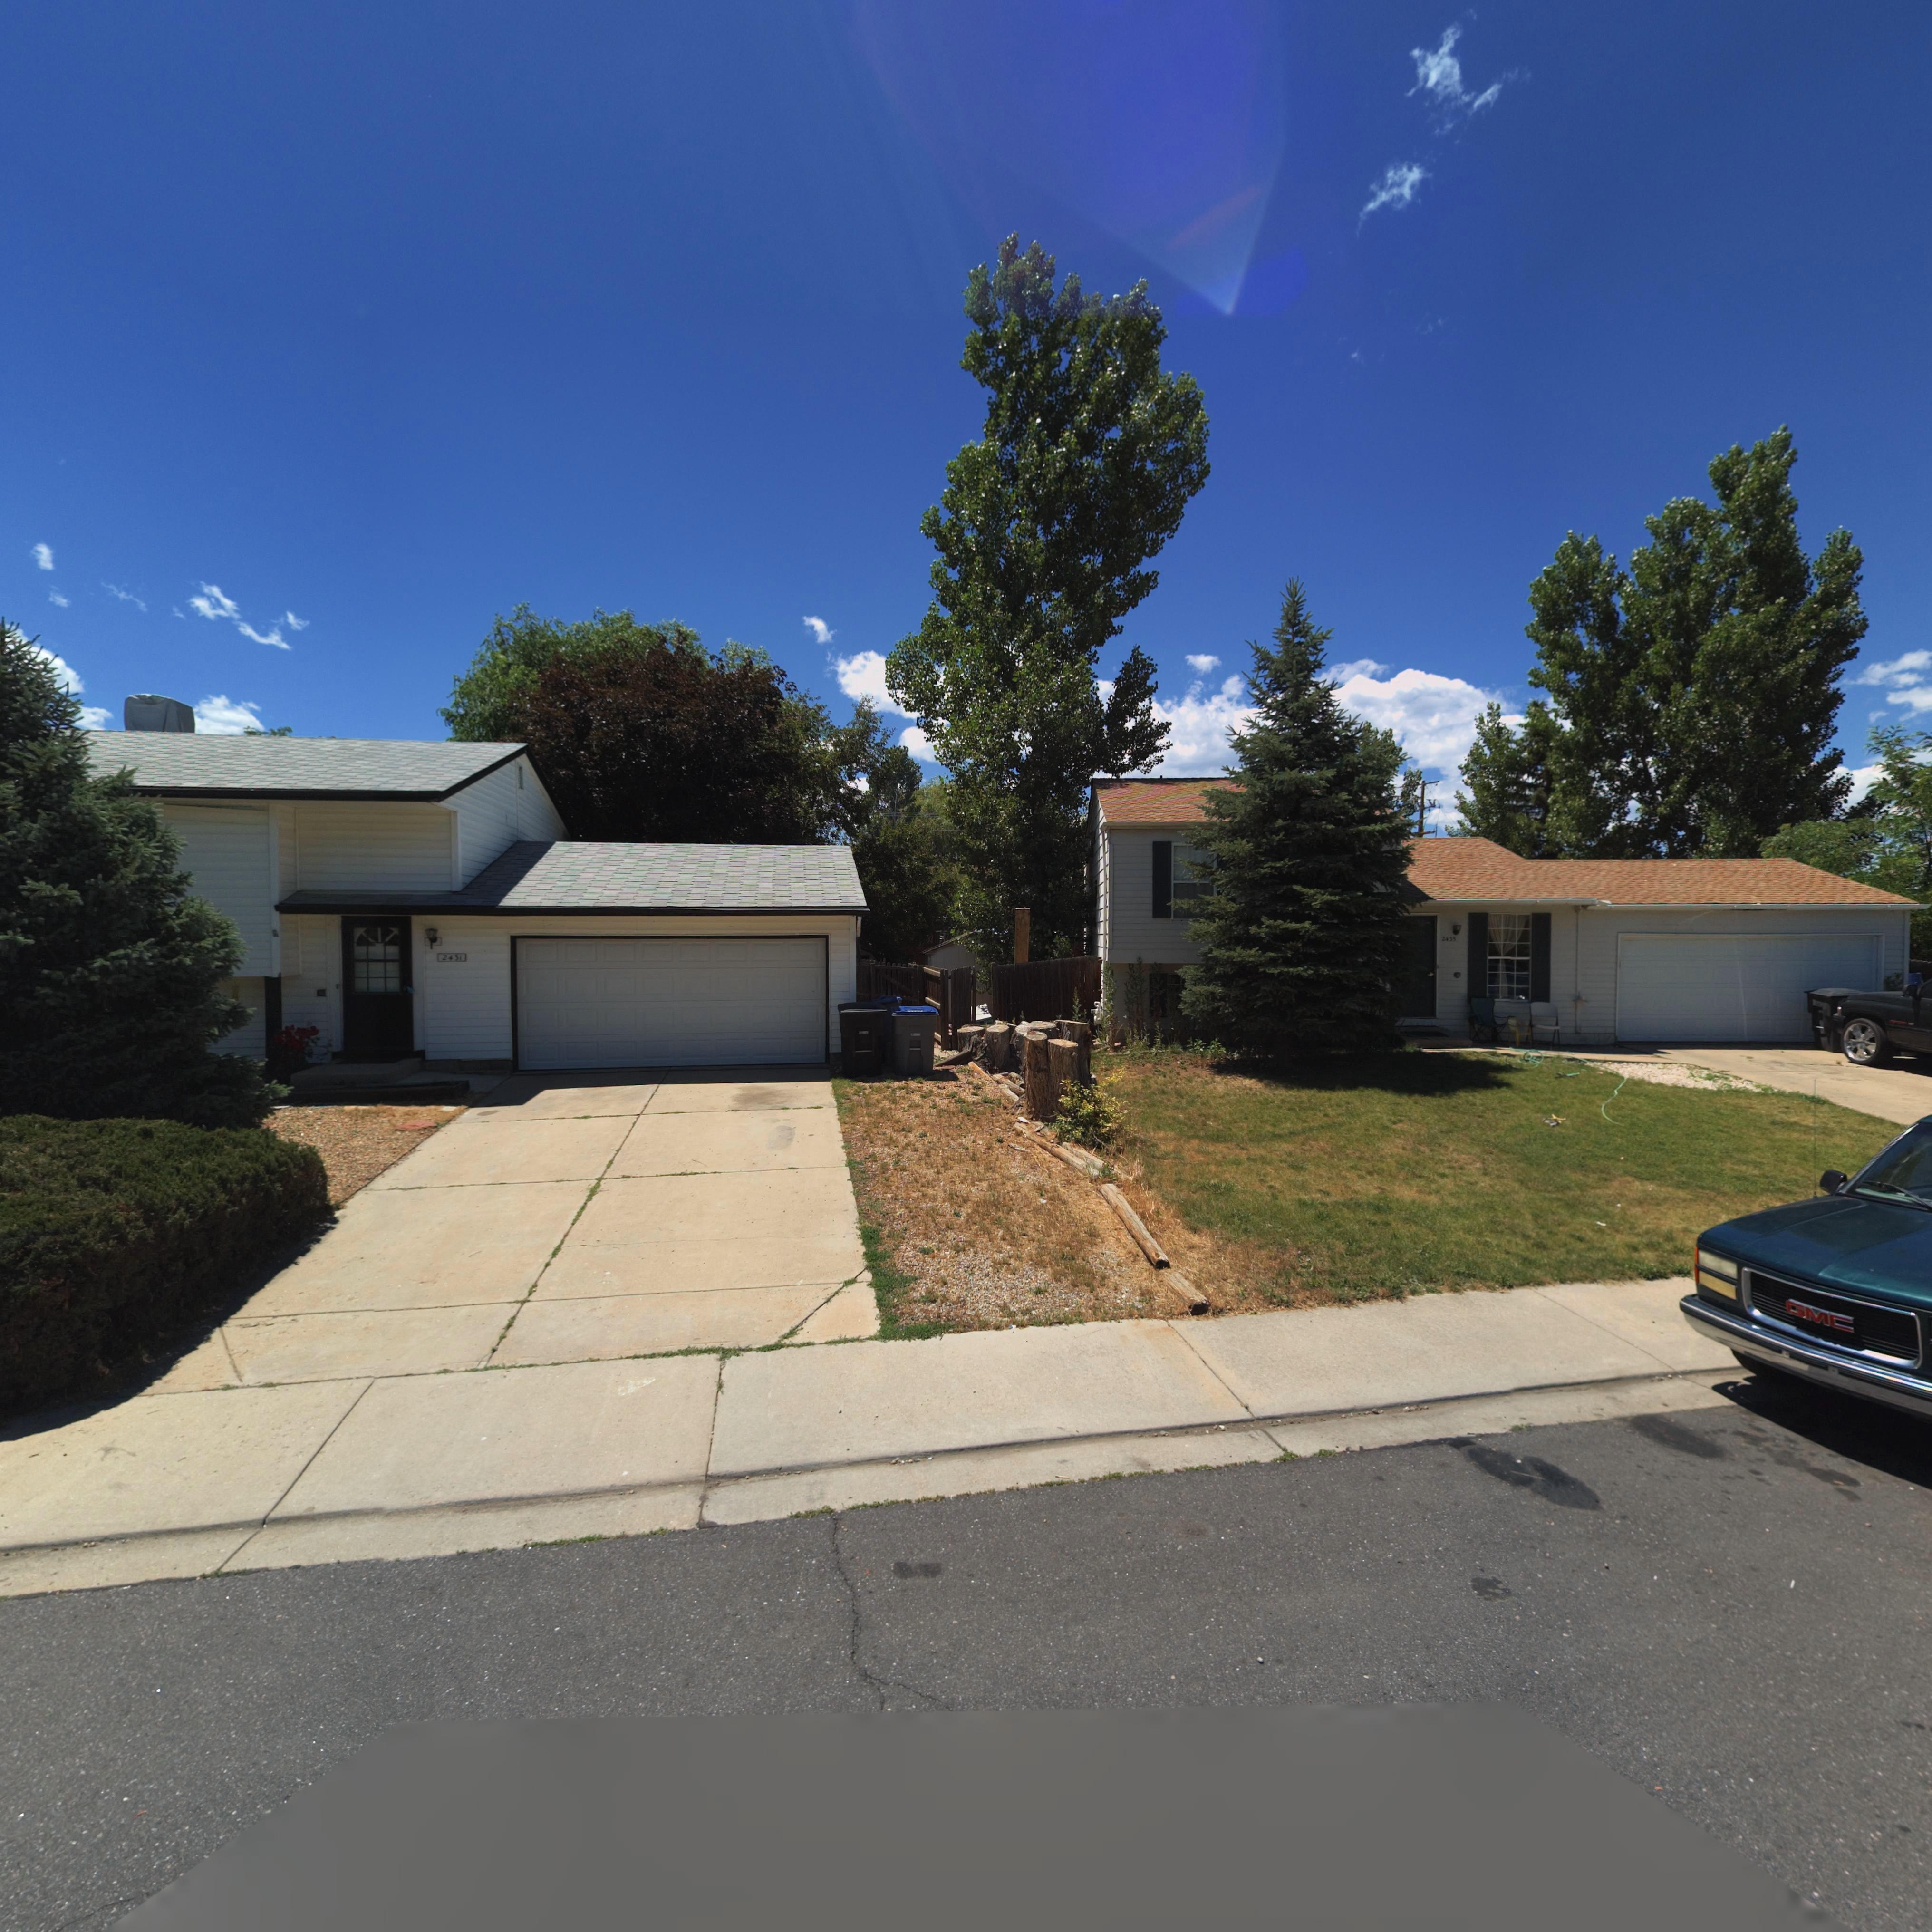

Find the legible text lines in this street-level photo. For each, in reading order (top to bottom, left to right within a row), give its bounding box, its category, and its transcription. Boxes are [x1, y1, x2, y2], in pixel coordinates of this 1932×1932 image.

[1441, 937, 1456, 942] StreetNumber: 2435
[442, 954, 462, 960] StreetNumber: 2431